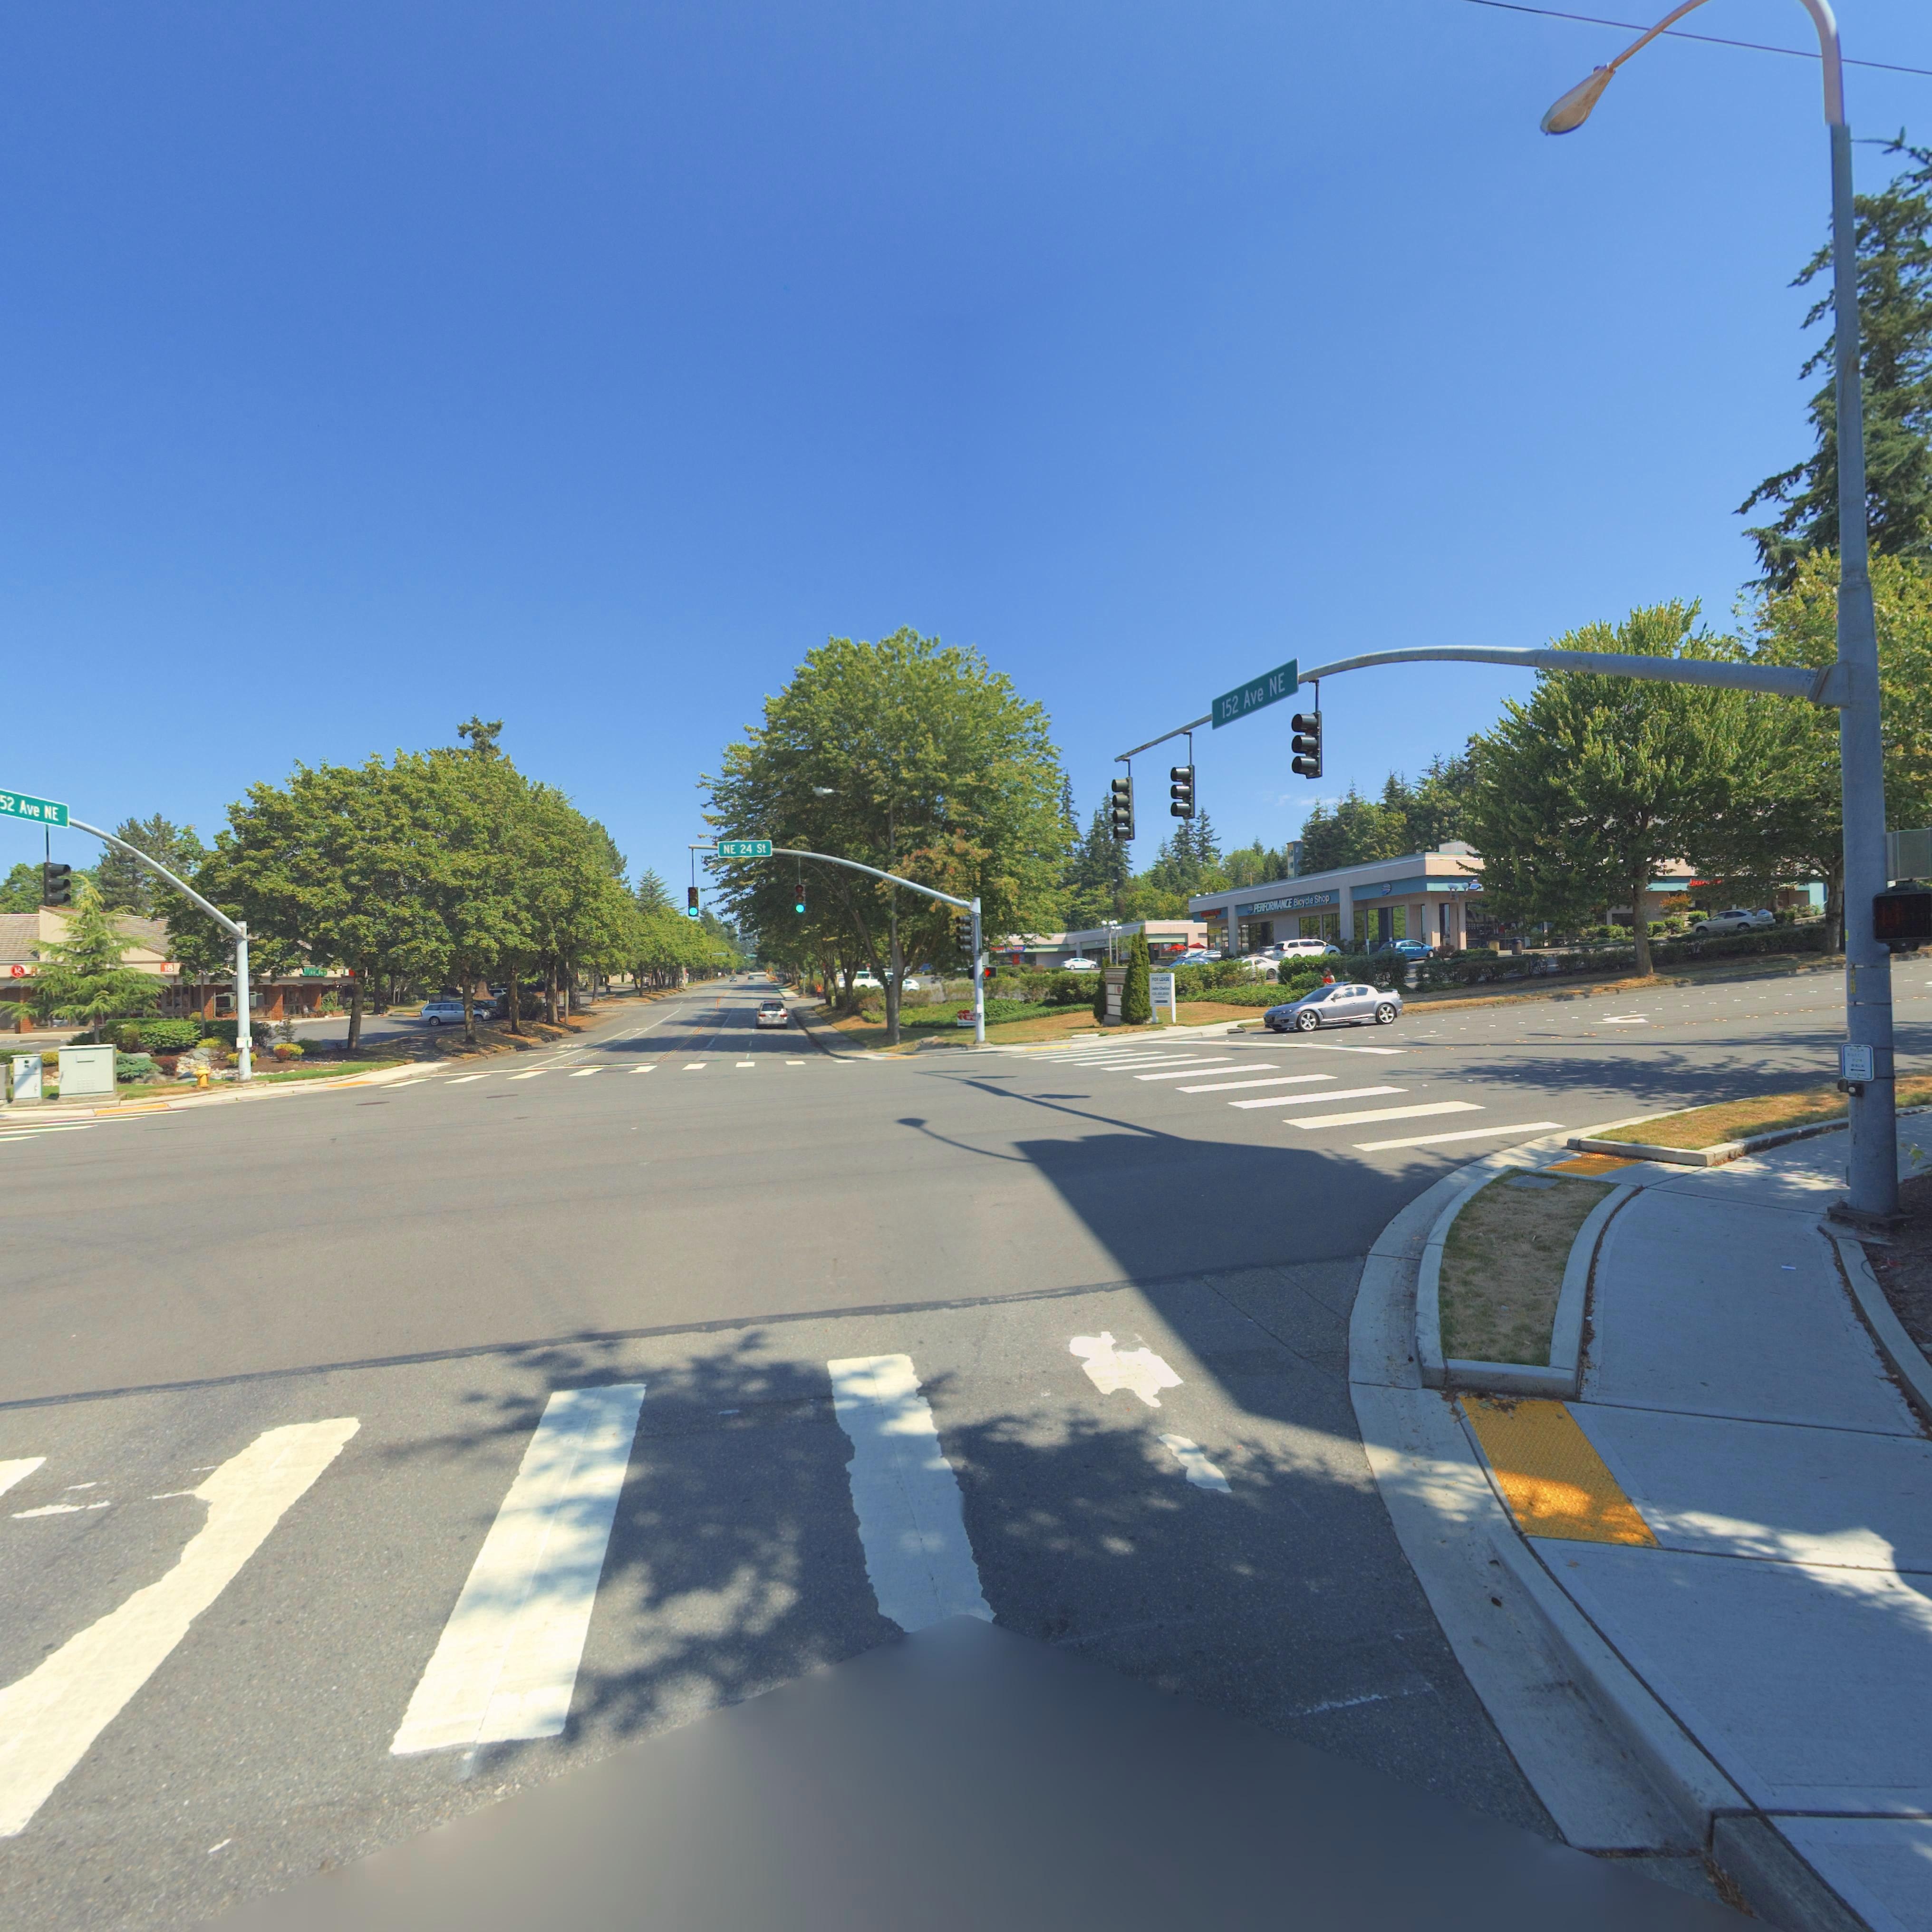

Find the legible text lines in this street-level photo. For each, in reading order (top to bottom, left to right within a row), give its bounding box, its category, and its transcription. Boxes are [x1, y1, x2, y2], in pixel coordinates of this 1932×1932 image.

[1220, 670, 1286, 719] StreetName: 152 Ave NE
[0, 792, 59, 821] StreetName: 52 Ave NE
[723, 843, 767, 855] StreetName: NE 24 St
[1253, 892, 1332, 913] BusinessName: PERFORMANCE Bicycle Shop
[1151, 976, 1170, 981] None: FOR LEASE